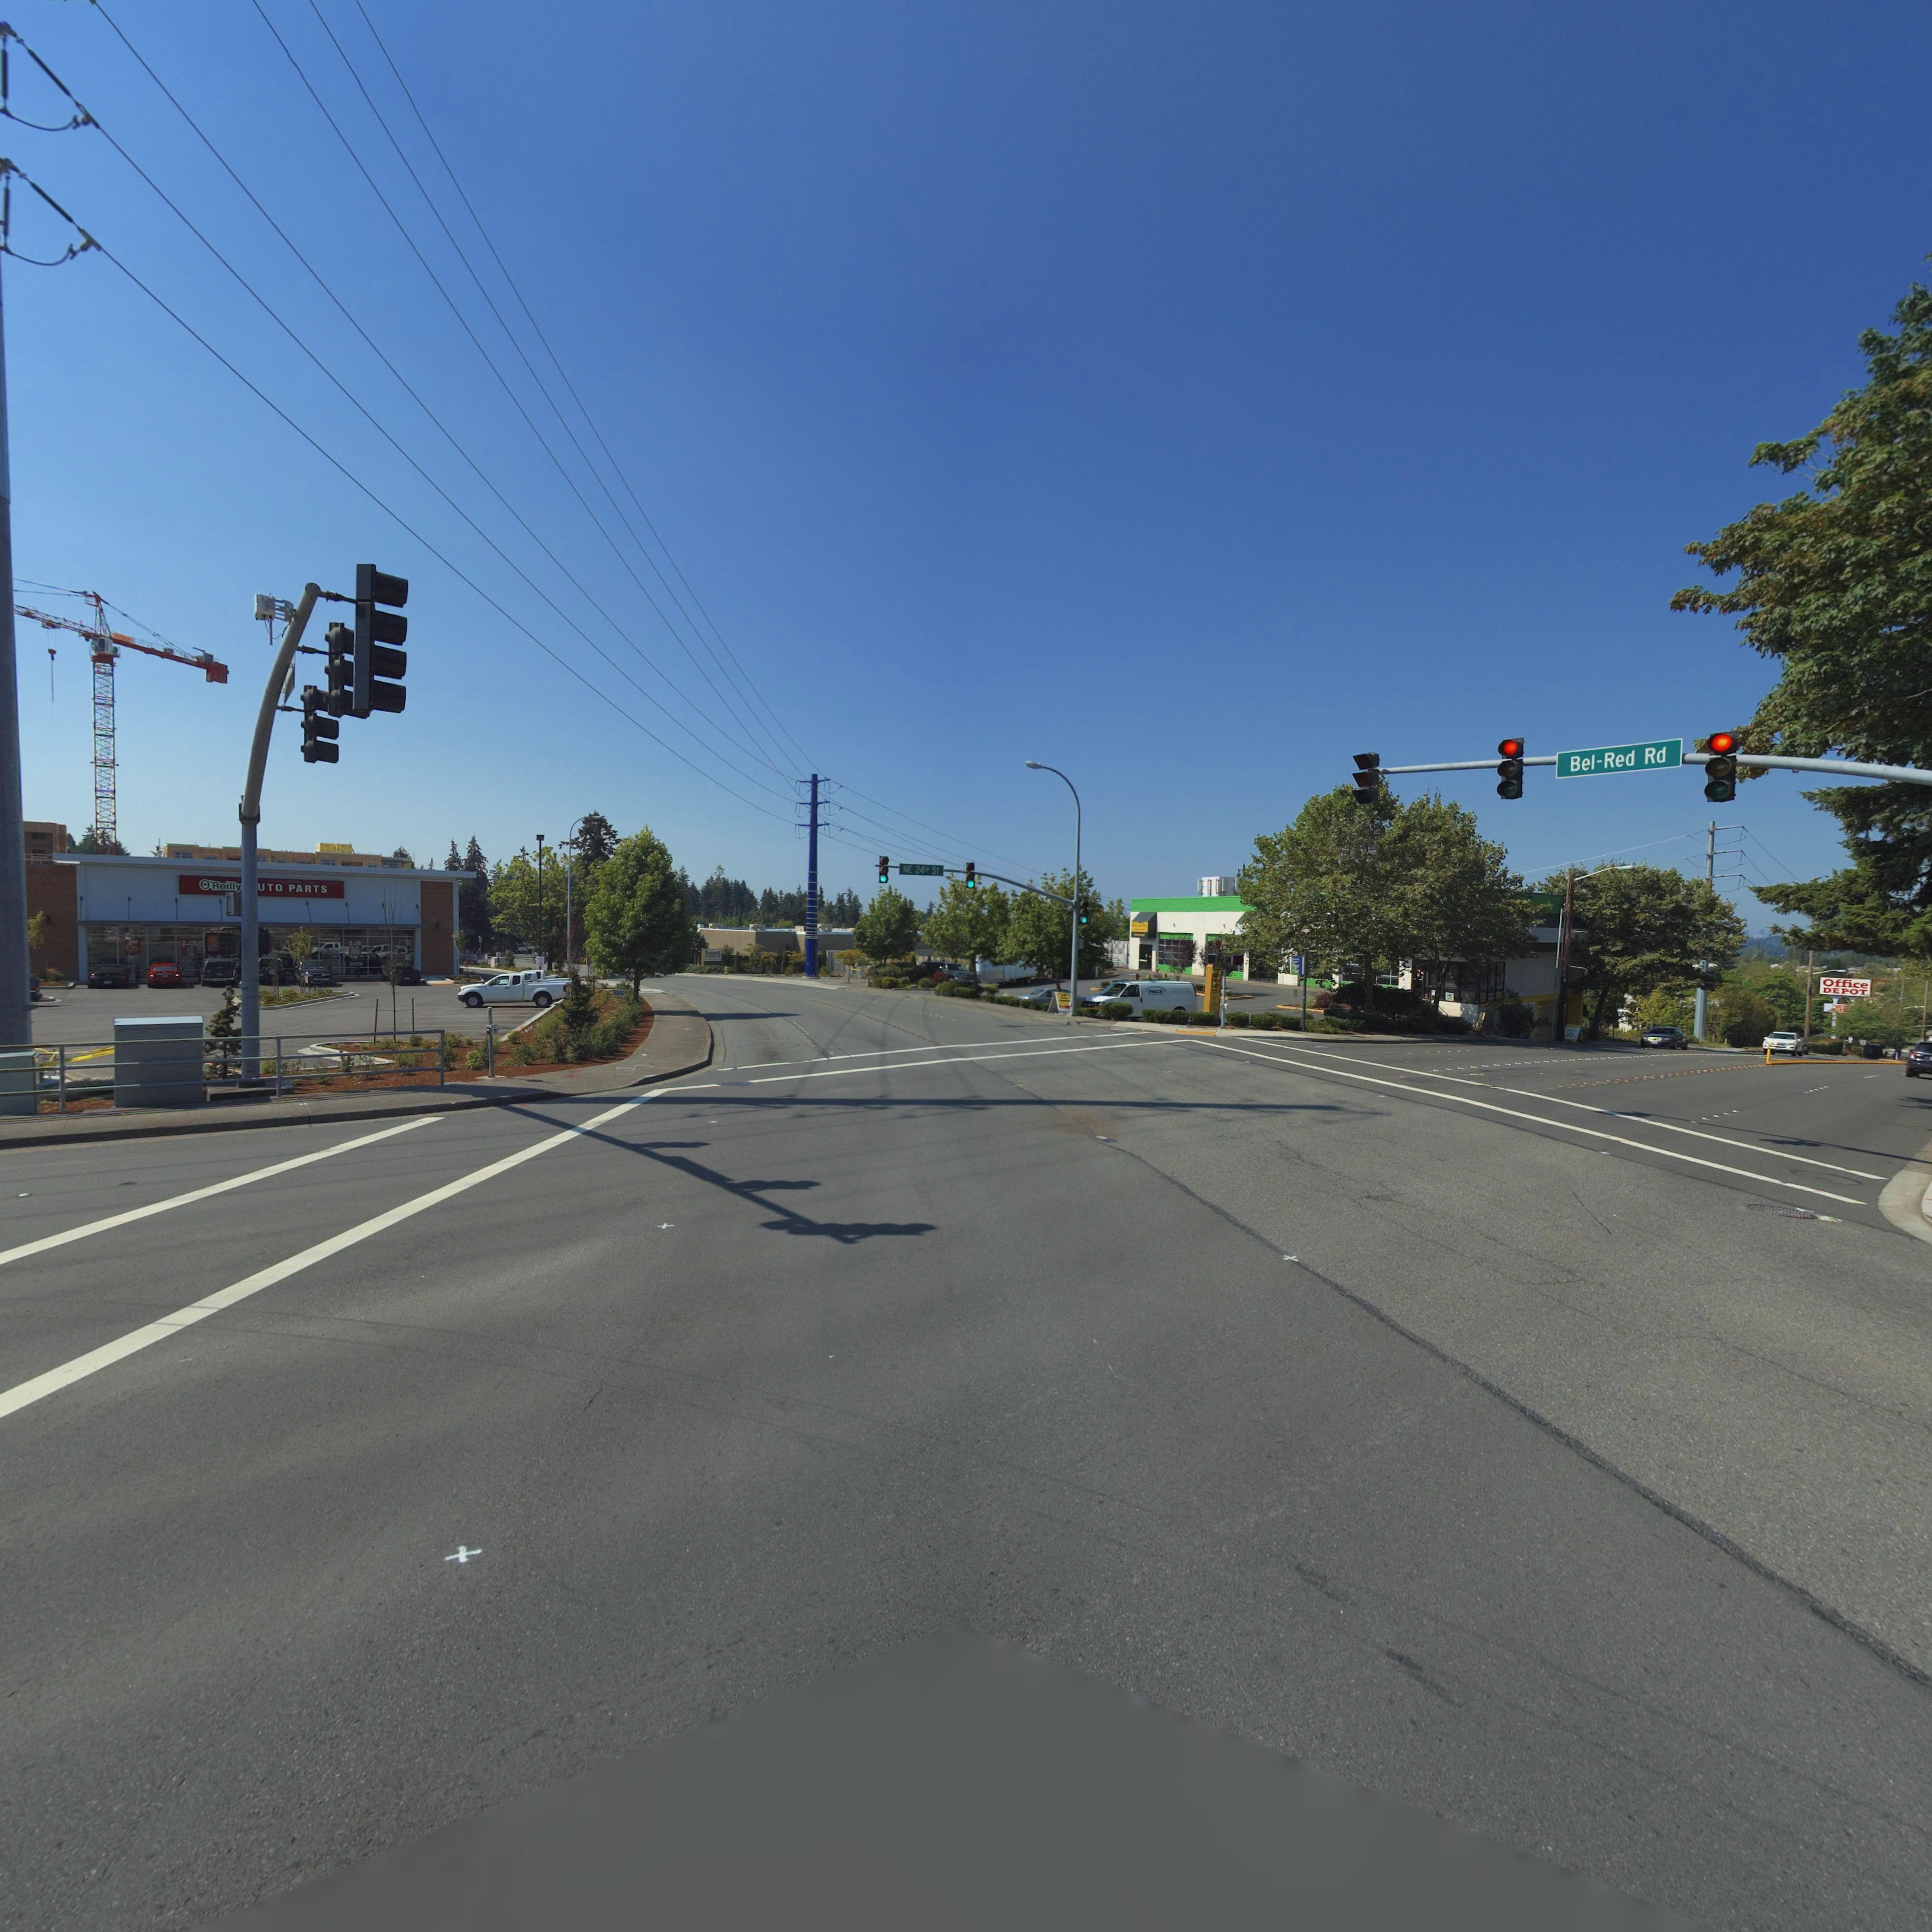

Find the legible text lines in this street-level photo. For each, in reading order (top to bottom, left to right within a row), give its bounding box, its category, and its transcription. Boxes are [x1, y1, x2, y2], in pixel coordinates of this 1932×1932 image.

[903, 865, 944, 875] StreetName: NE 24th St
[289, 882, 328, 893] BusinessName: PARTS
[1822, 977, 1870, 989] BusinessName: Office
[1823, 986, 1868, 995] BusinessName: DEPOT